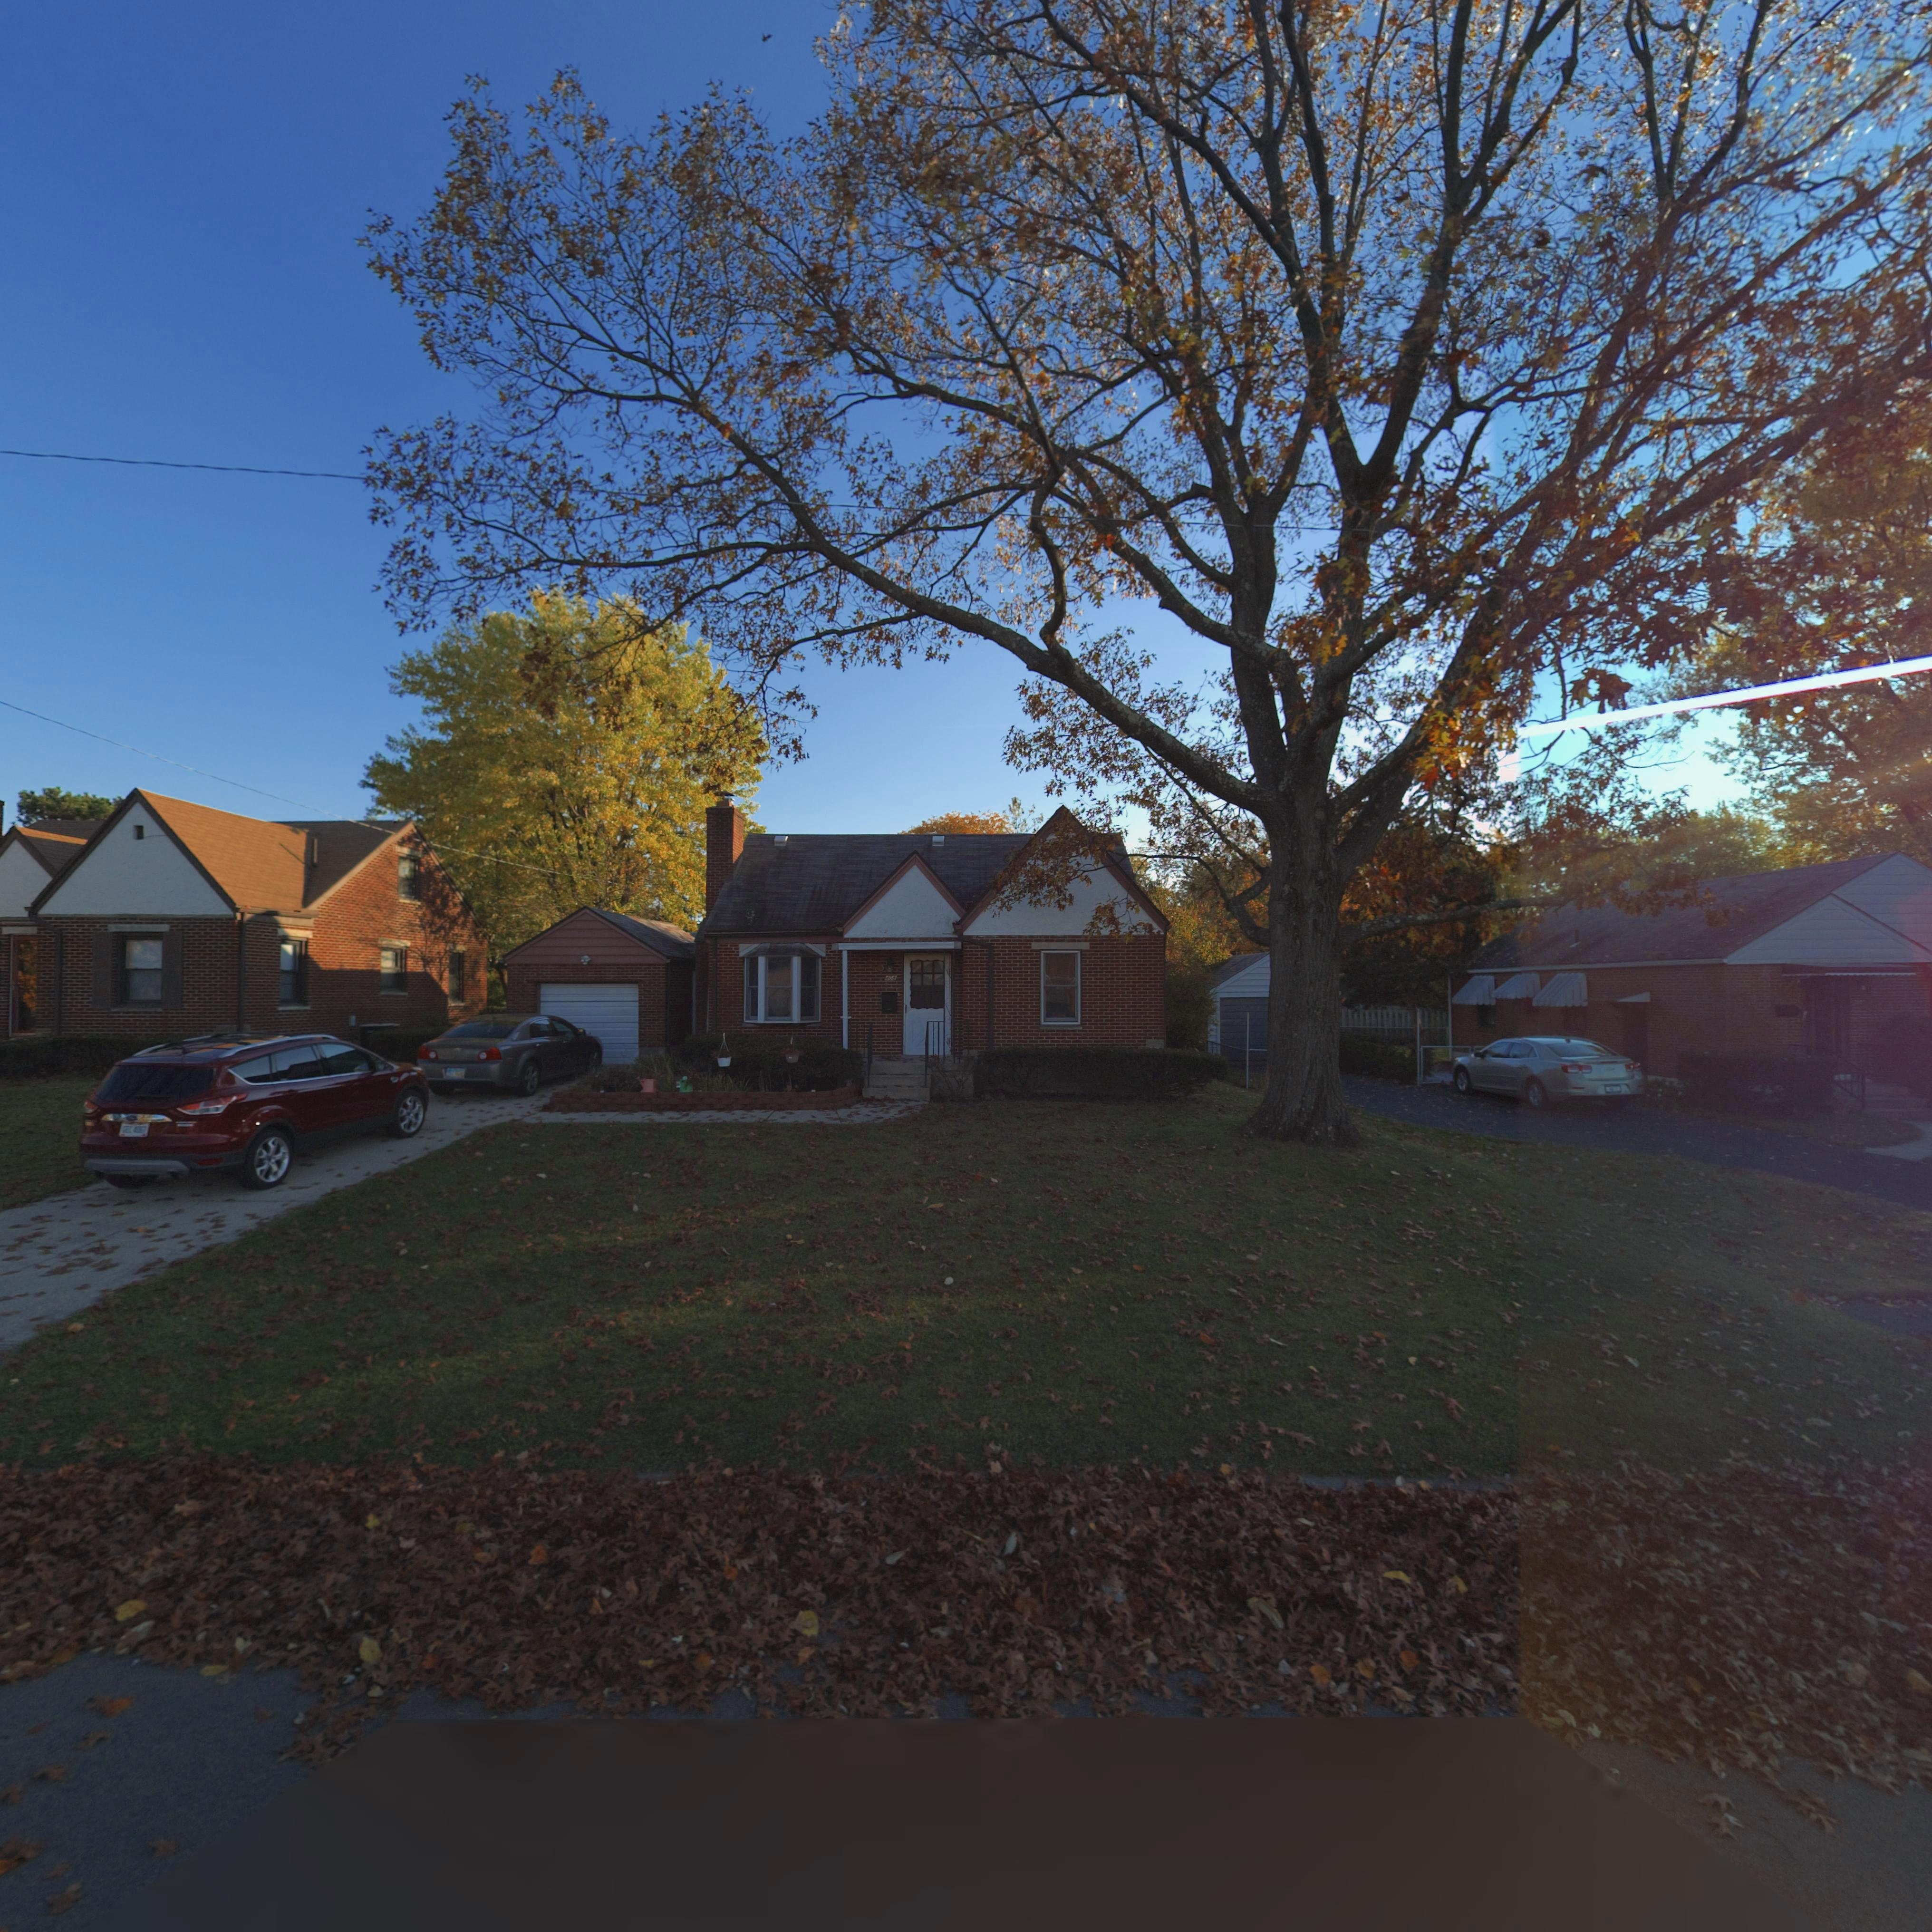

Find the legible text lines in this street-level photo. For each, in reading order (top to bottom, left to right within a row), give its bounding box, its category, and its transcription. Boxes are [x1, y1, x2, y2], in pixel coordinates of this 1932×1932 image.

[885, 976, 896, 980] StreetNumber: 408